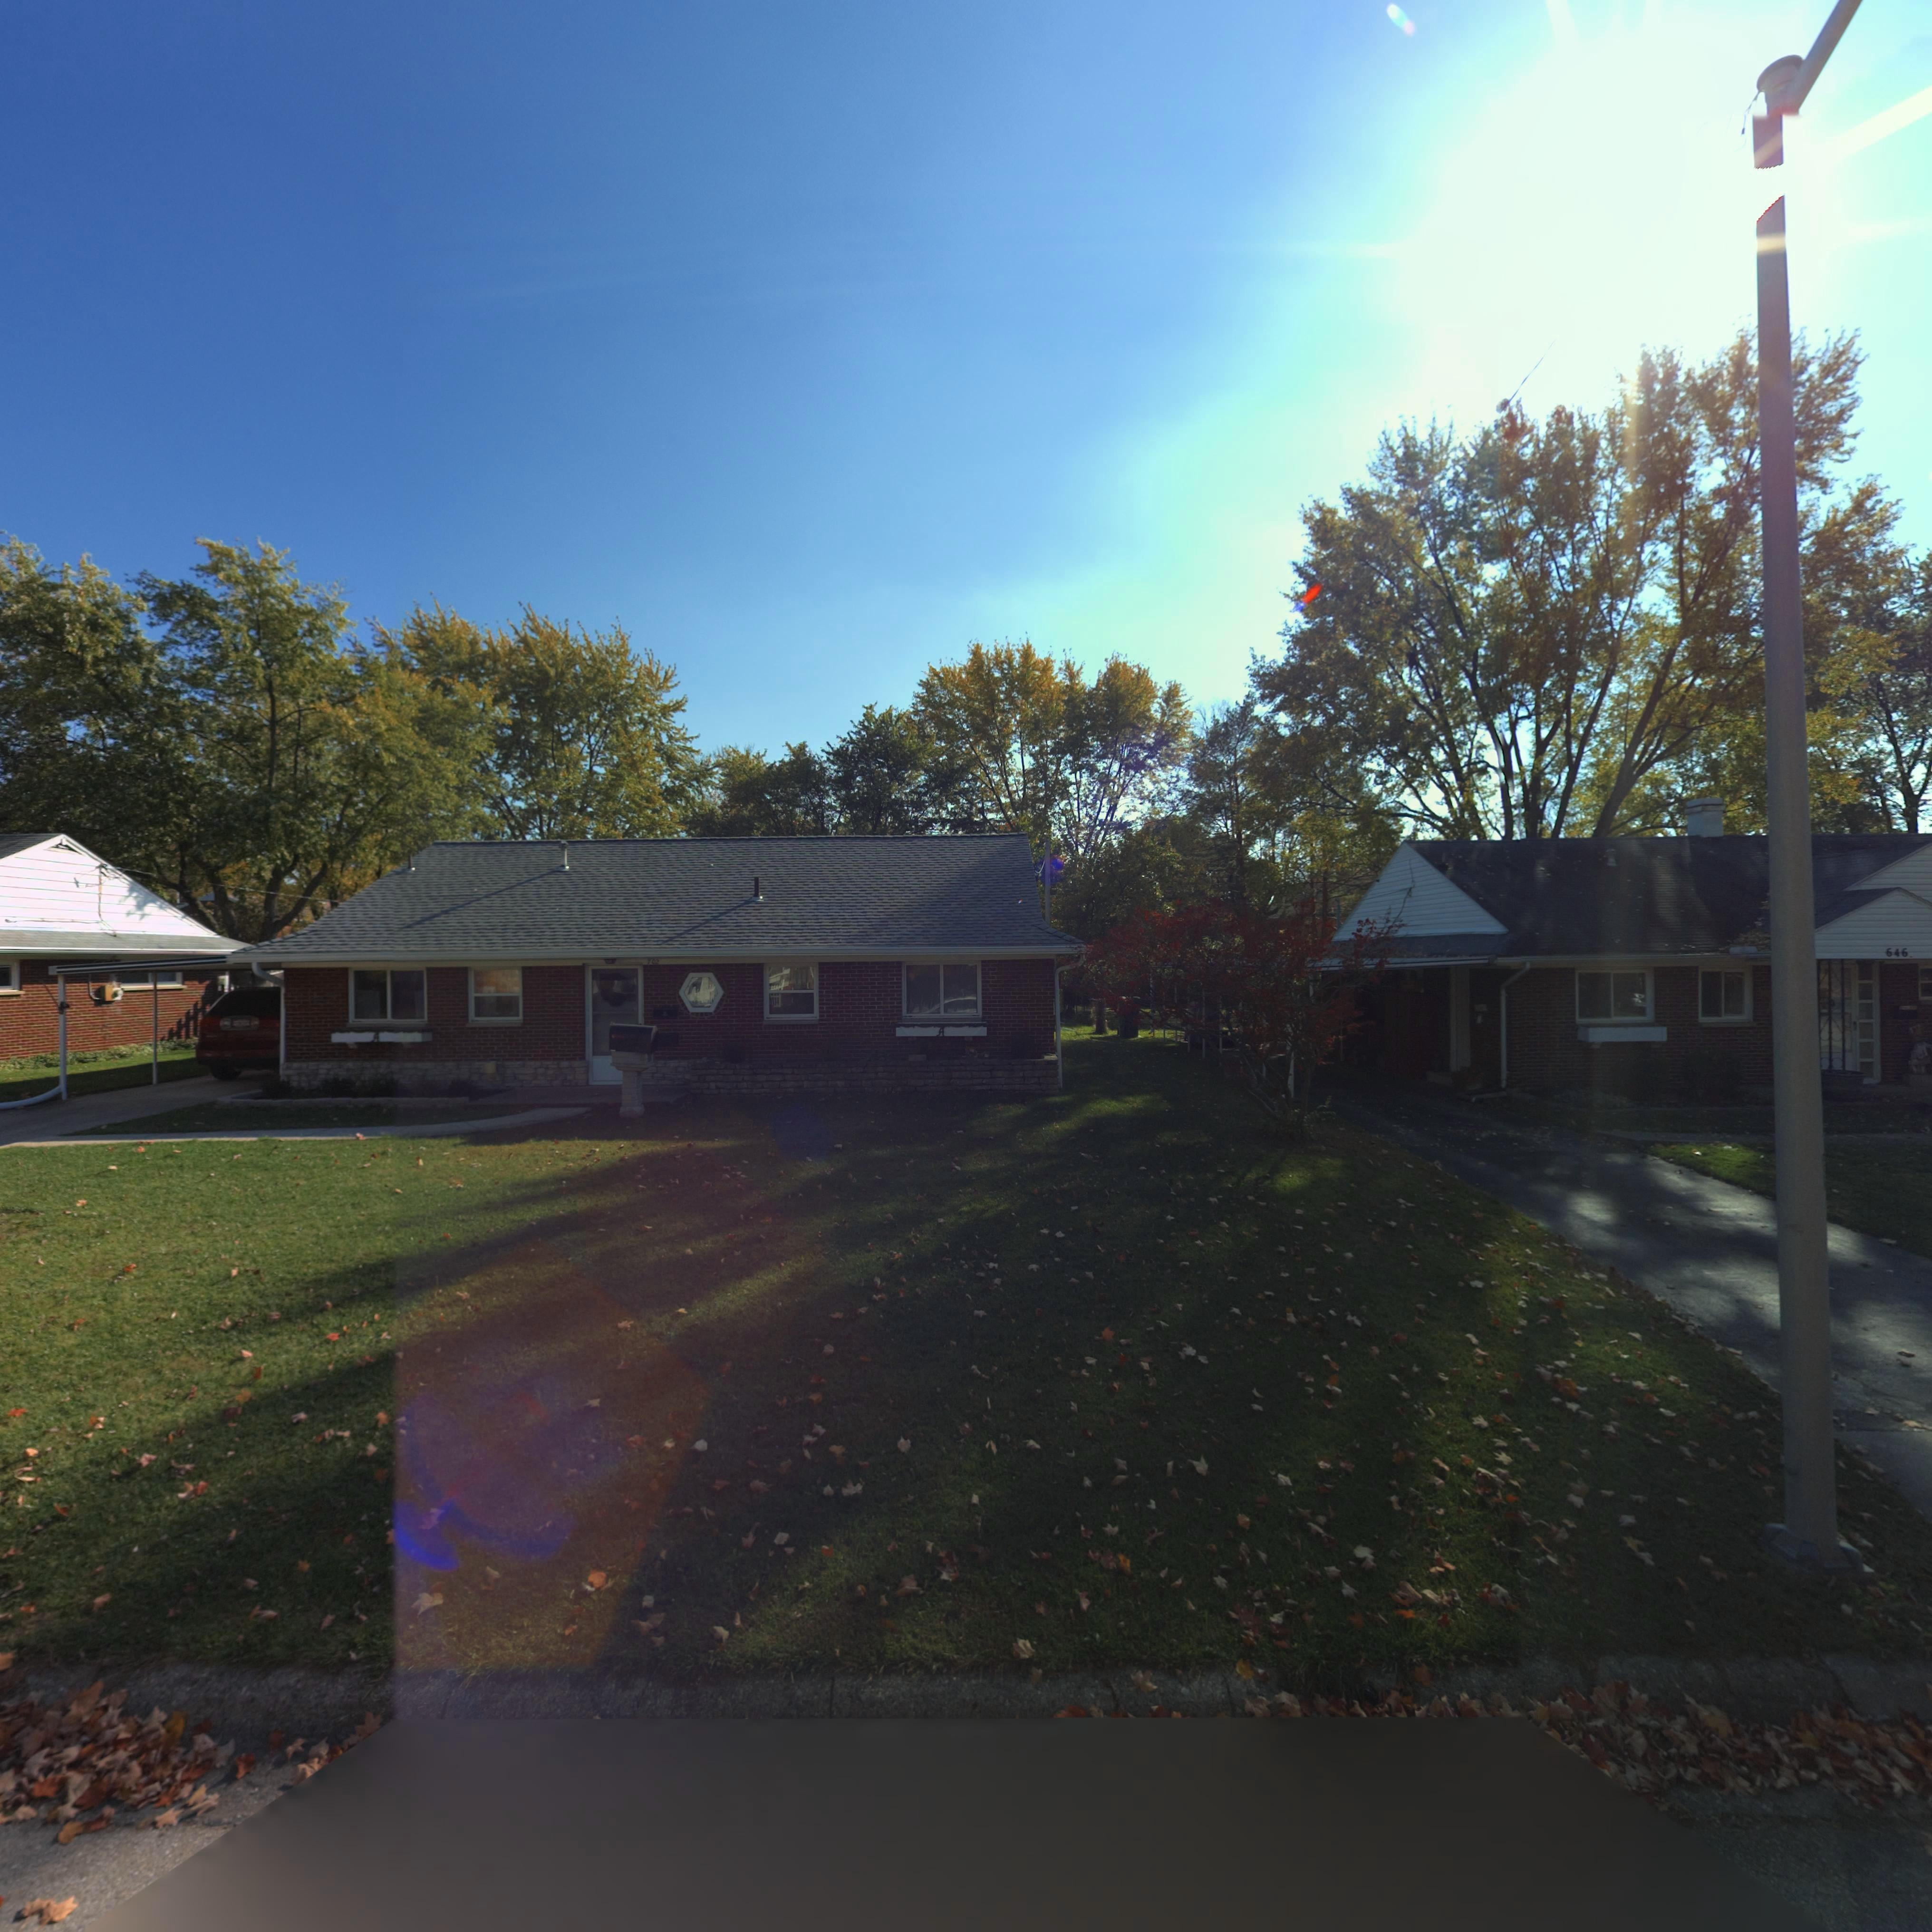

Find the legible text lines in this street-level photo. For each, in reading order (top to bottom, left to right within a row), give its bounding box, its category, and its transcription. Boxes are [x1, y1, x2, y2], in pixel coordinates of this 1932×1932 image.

[1885, 947, 1909, 958] StreetNumber: 646
[647, 958, 660, 966] StreetNumber: 702